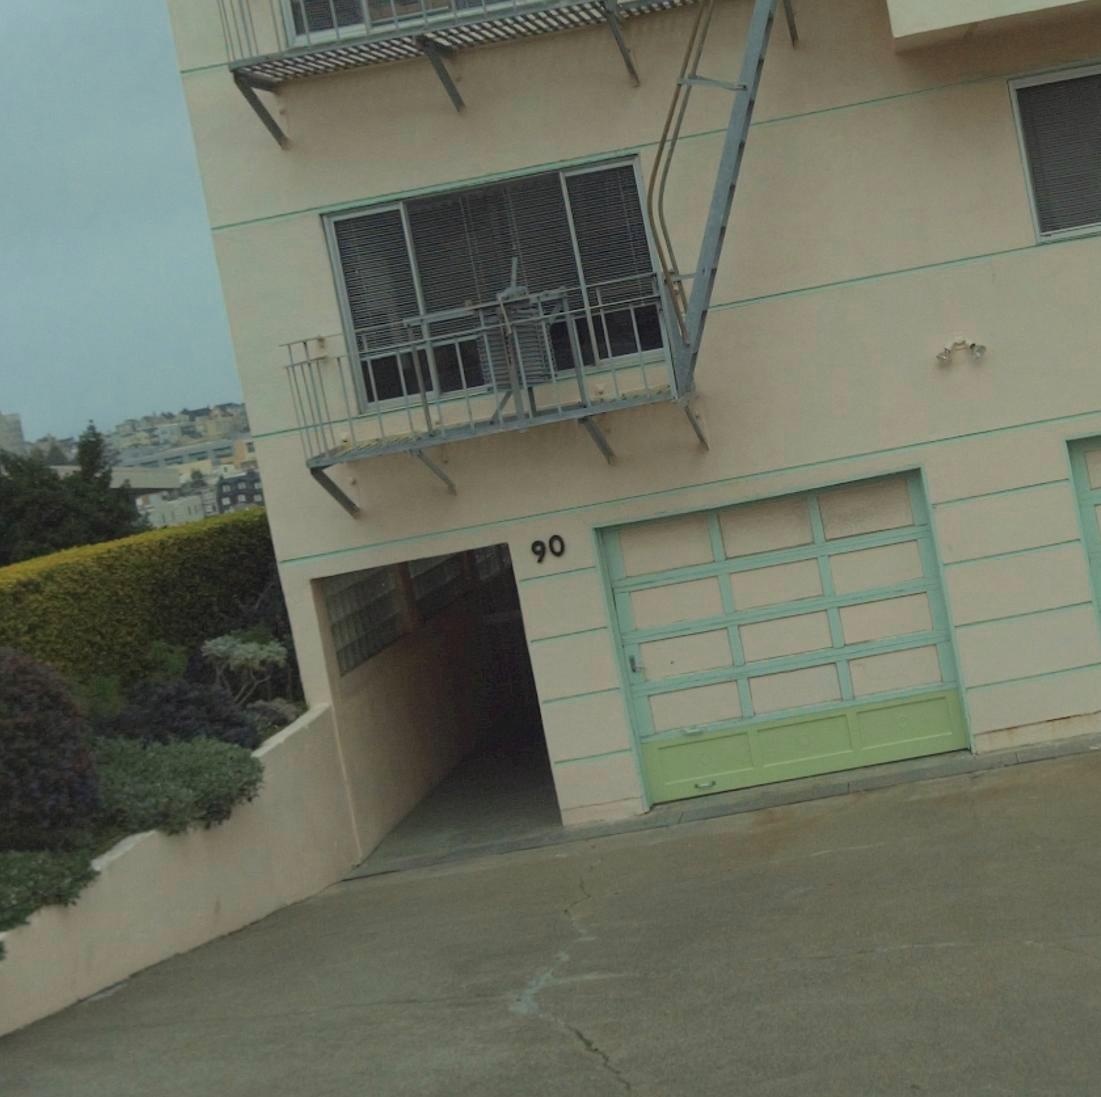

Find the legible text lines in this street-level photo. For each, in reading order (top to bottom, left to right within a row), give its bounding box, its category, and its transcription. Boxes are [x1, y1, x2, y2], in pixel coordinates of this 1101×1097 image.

[527, 531, 570, 567] StreetNumber: 90